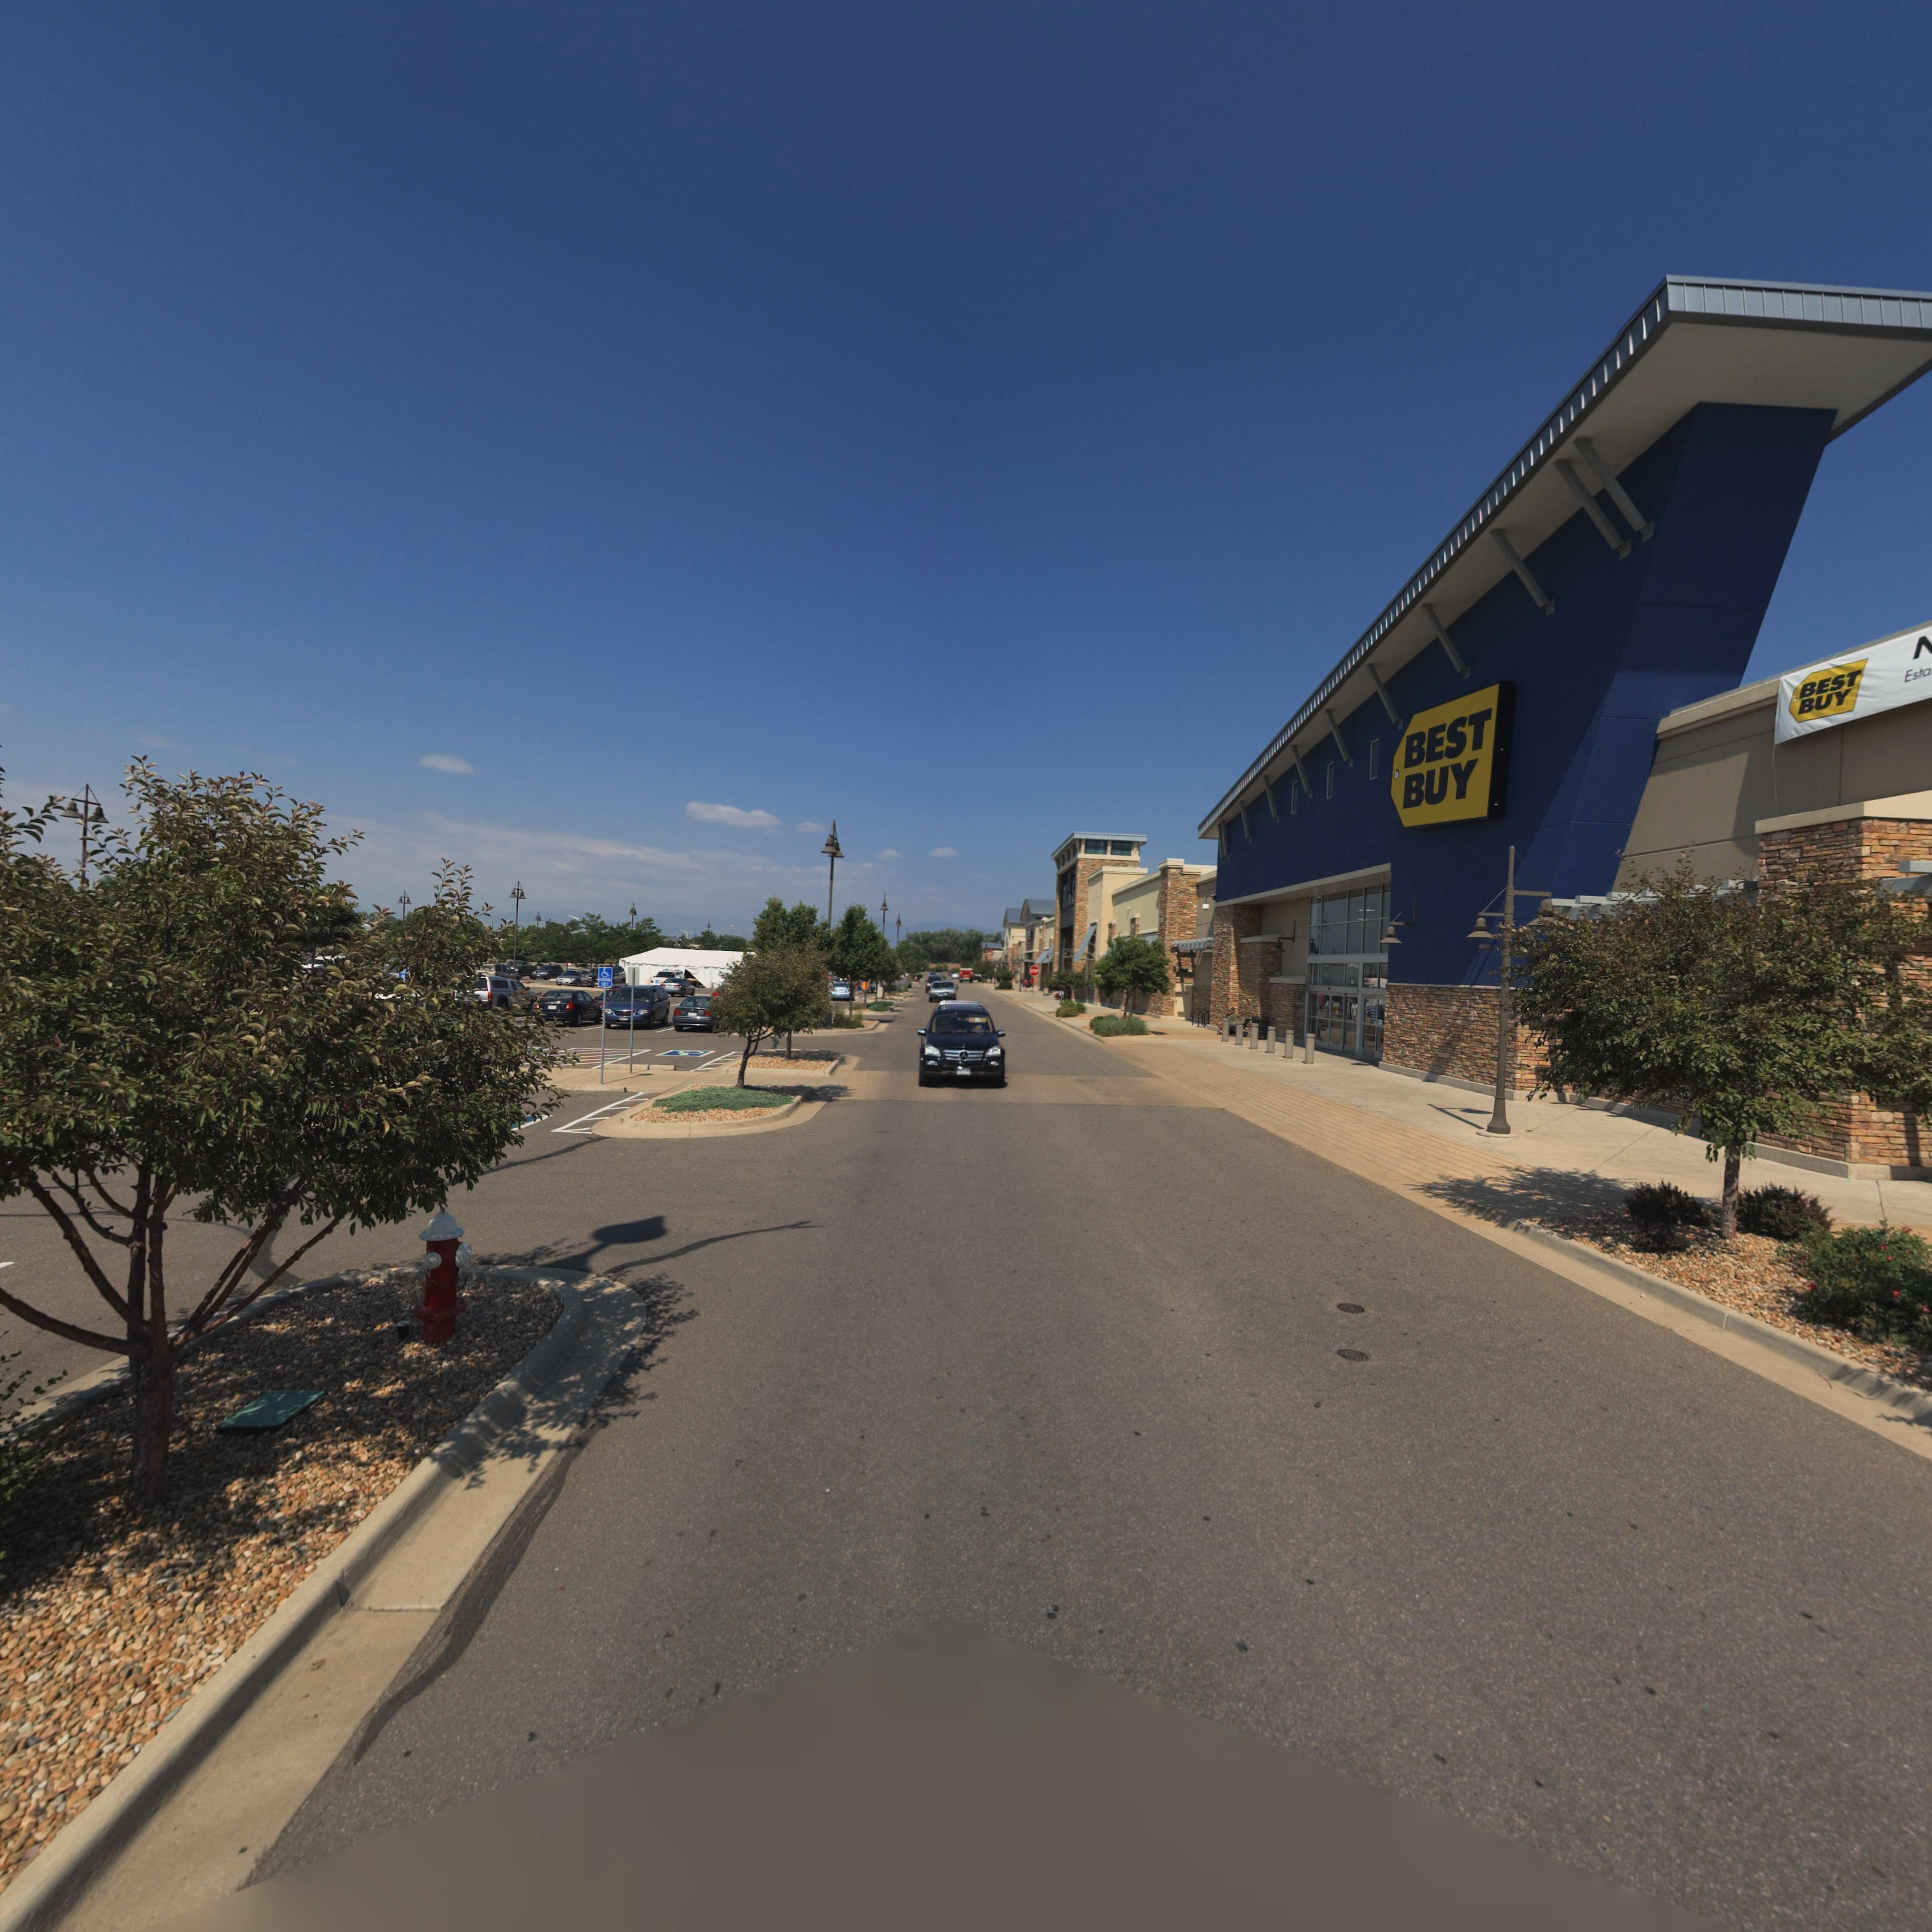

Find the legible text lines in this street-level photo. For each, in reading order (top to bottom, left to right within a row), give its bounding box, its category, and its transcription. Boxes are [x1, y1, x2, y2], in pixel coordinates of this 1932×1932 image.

[1799, 669, 1862, 699] BusinessName: BEST
[1797, 687, 1853, 715] BusinessName: BUY
[1404, 707, 1492, 769] BusinessName: BEST
[1402, 758, 1479, 810] BusinessName: BUY
[1062, 877, 1075, 909] None: ***S
[1030, 968, 1038, 972] BusinessName: ****S